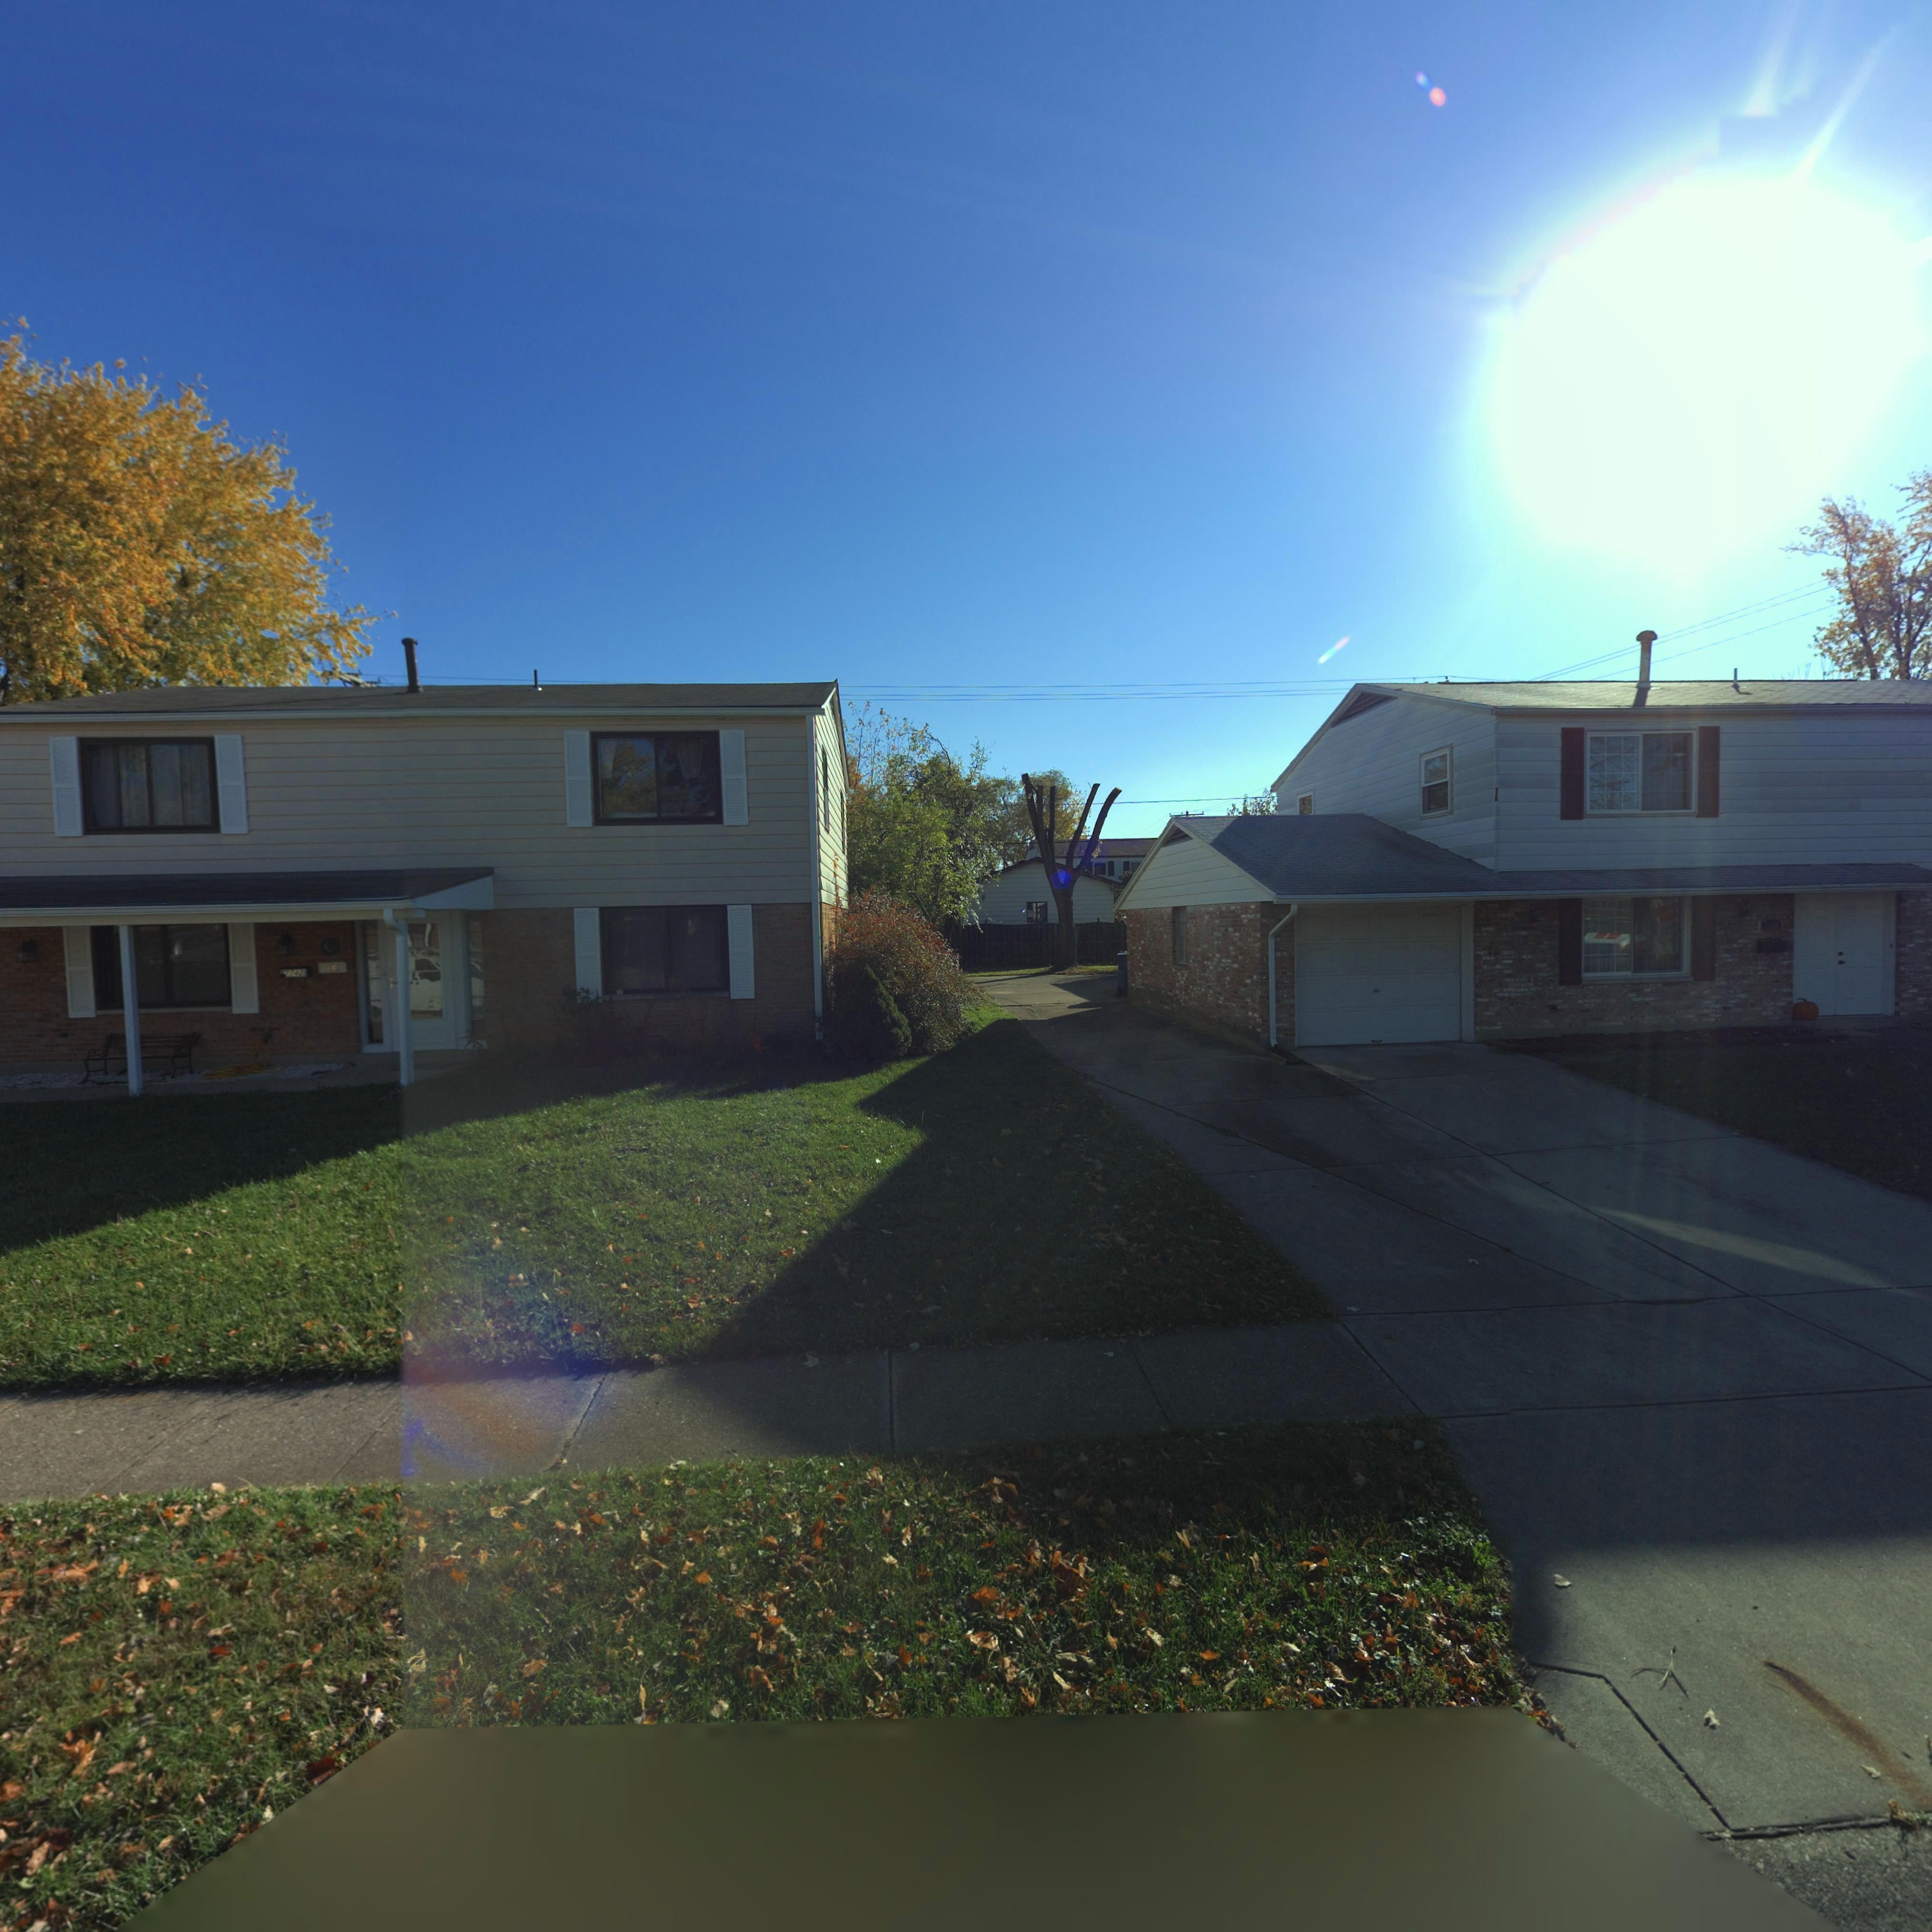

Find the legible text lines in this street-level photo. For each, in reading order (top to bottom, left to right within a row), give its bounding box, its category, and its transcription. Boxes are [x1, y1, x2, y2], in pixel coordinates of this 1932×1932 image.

[283, 968, 306, 977] StreetNumber: *742